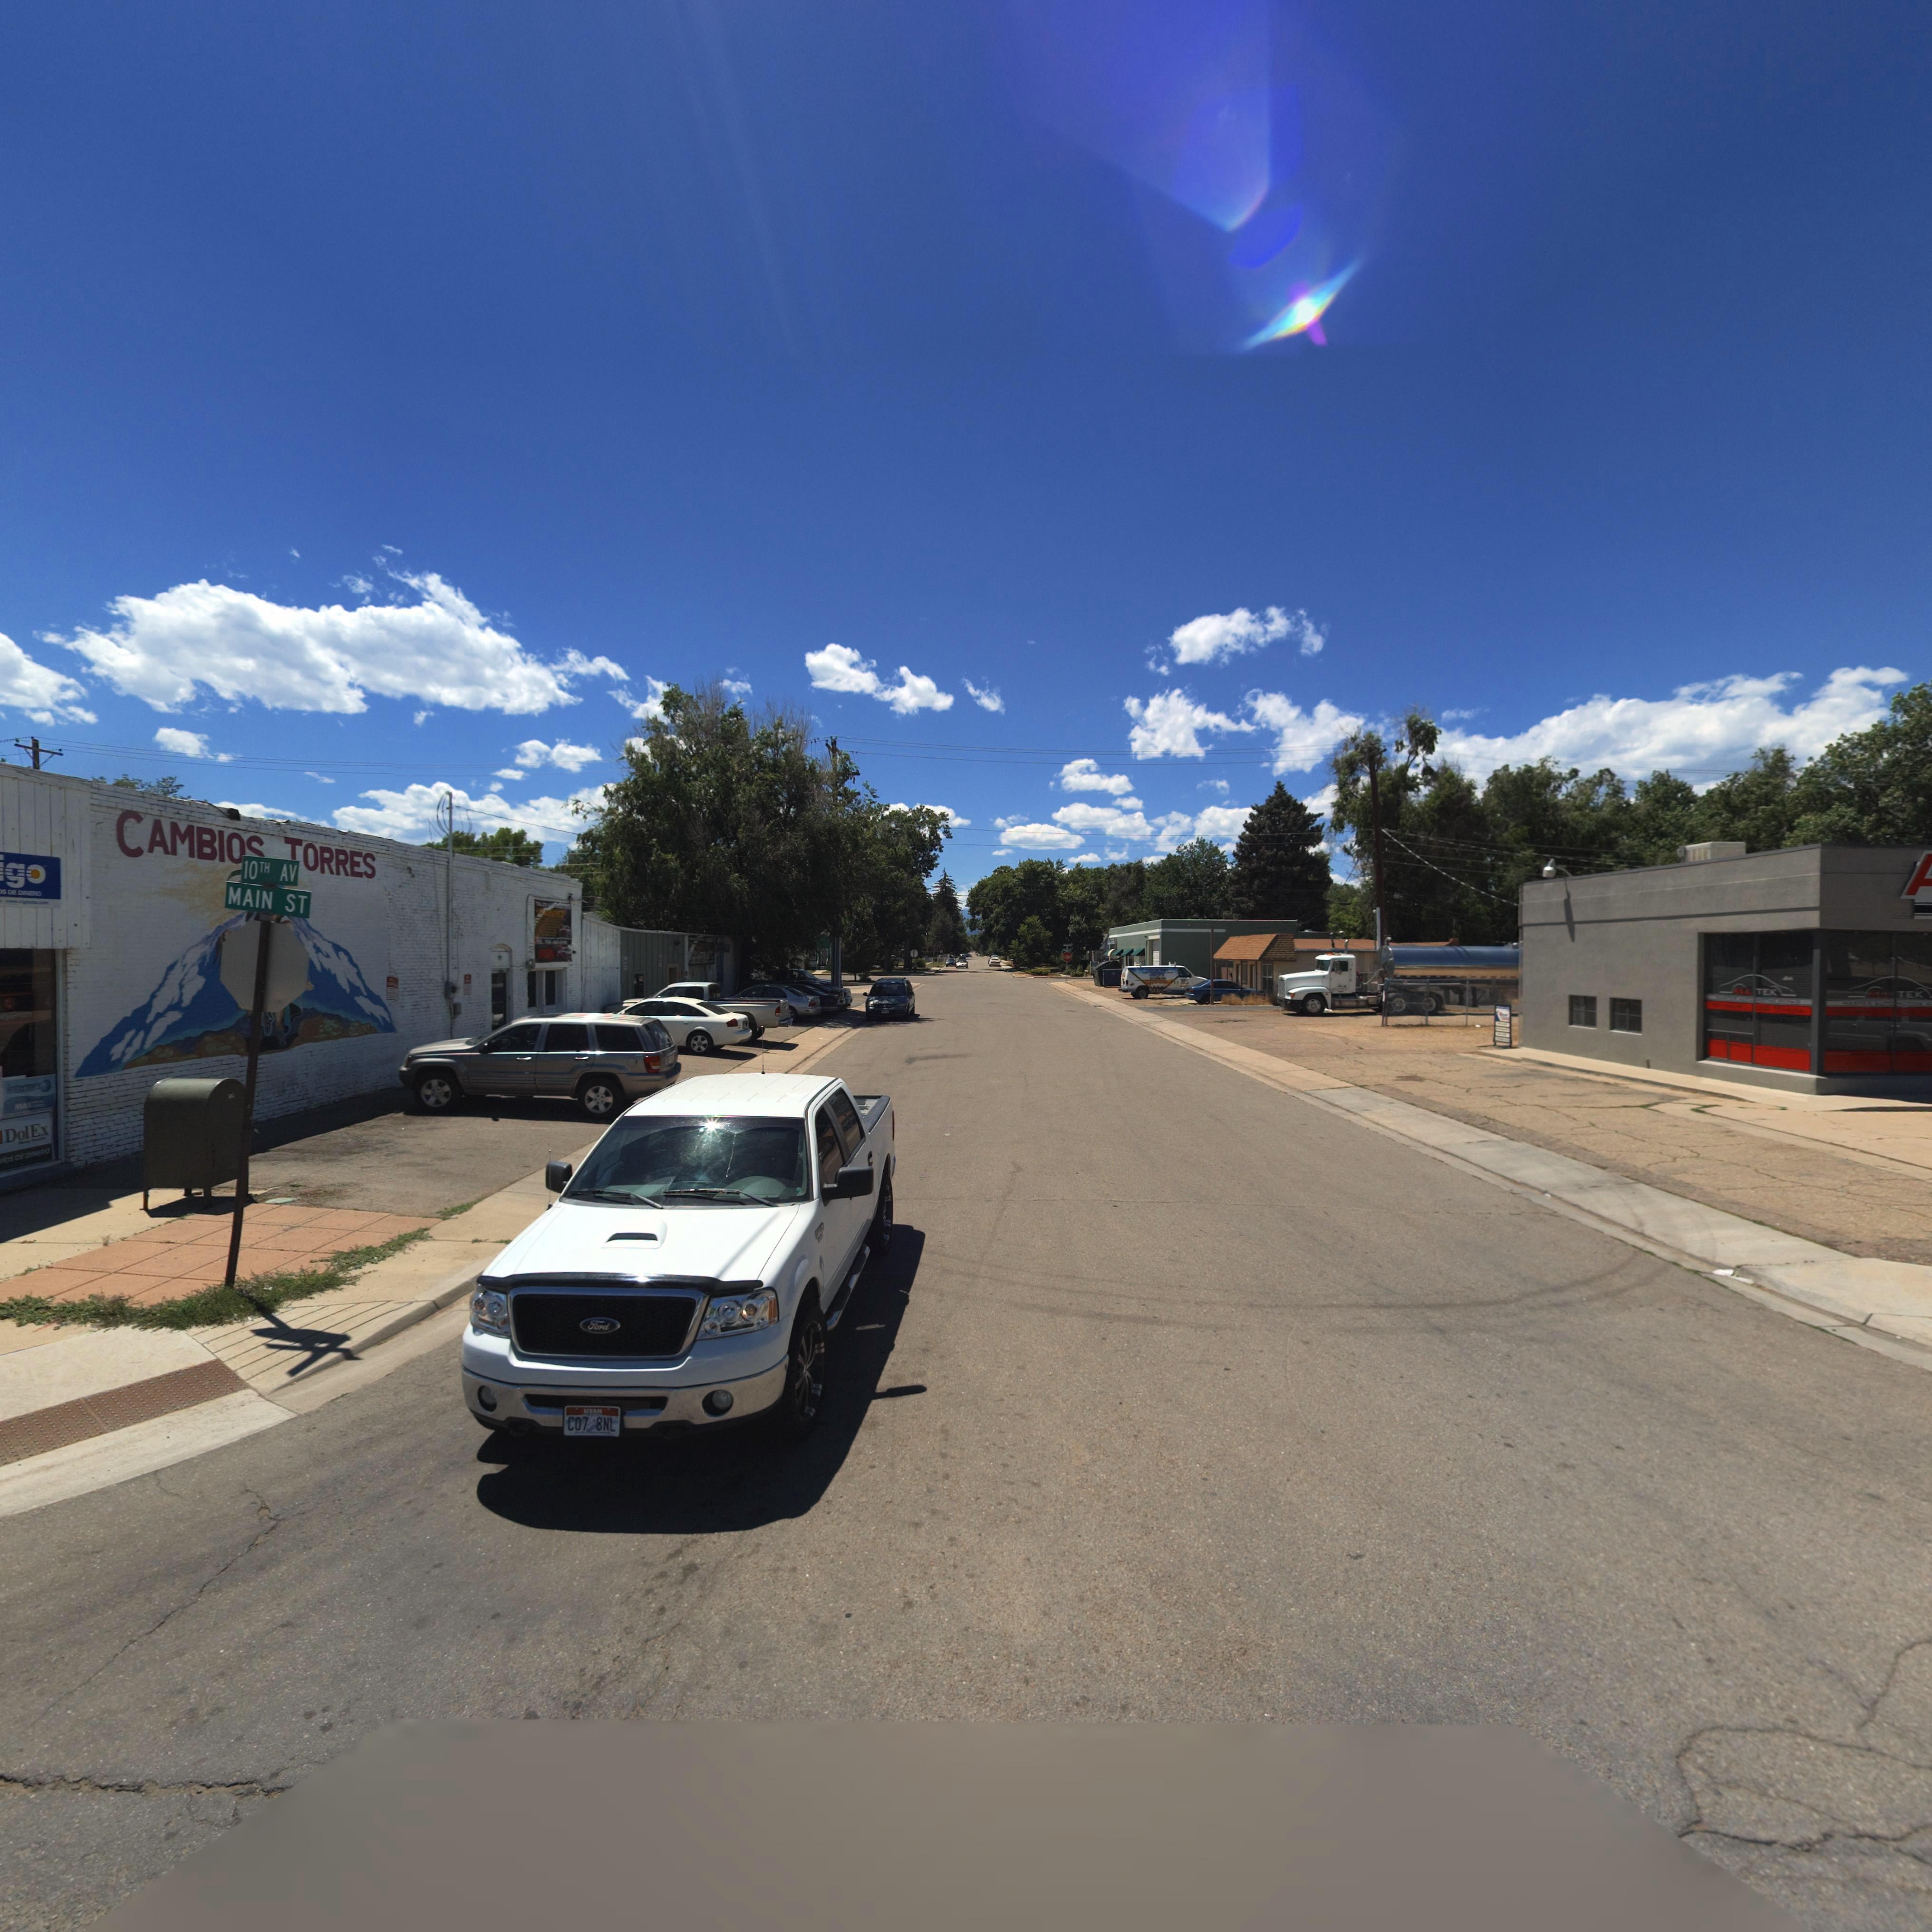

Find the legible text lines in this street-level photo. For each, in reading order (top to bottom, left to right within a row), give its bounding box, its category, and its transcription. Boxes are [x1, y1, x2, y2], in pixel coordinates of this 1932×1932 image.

[115, 809, 376, 879] BusinessName: CAMBIO* TORRES
[243, 860, 298, 882] StreetName: 10TH AV
[227, 885, 308, 915] StreetName: MAIN ST
[1732, 987, 1777, 996] BusinessName: ALL TEK
[1866, 990, 1923, 998] BusinessName: ALL TEK